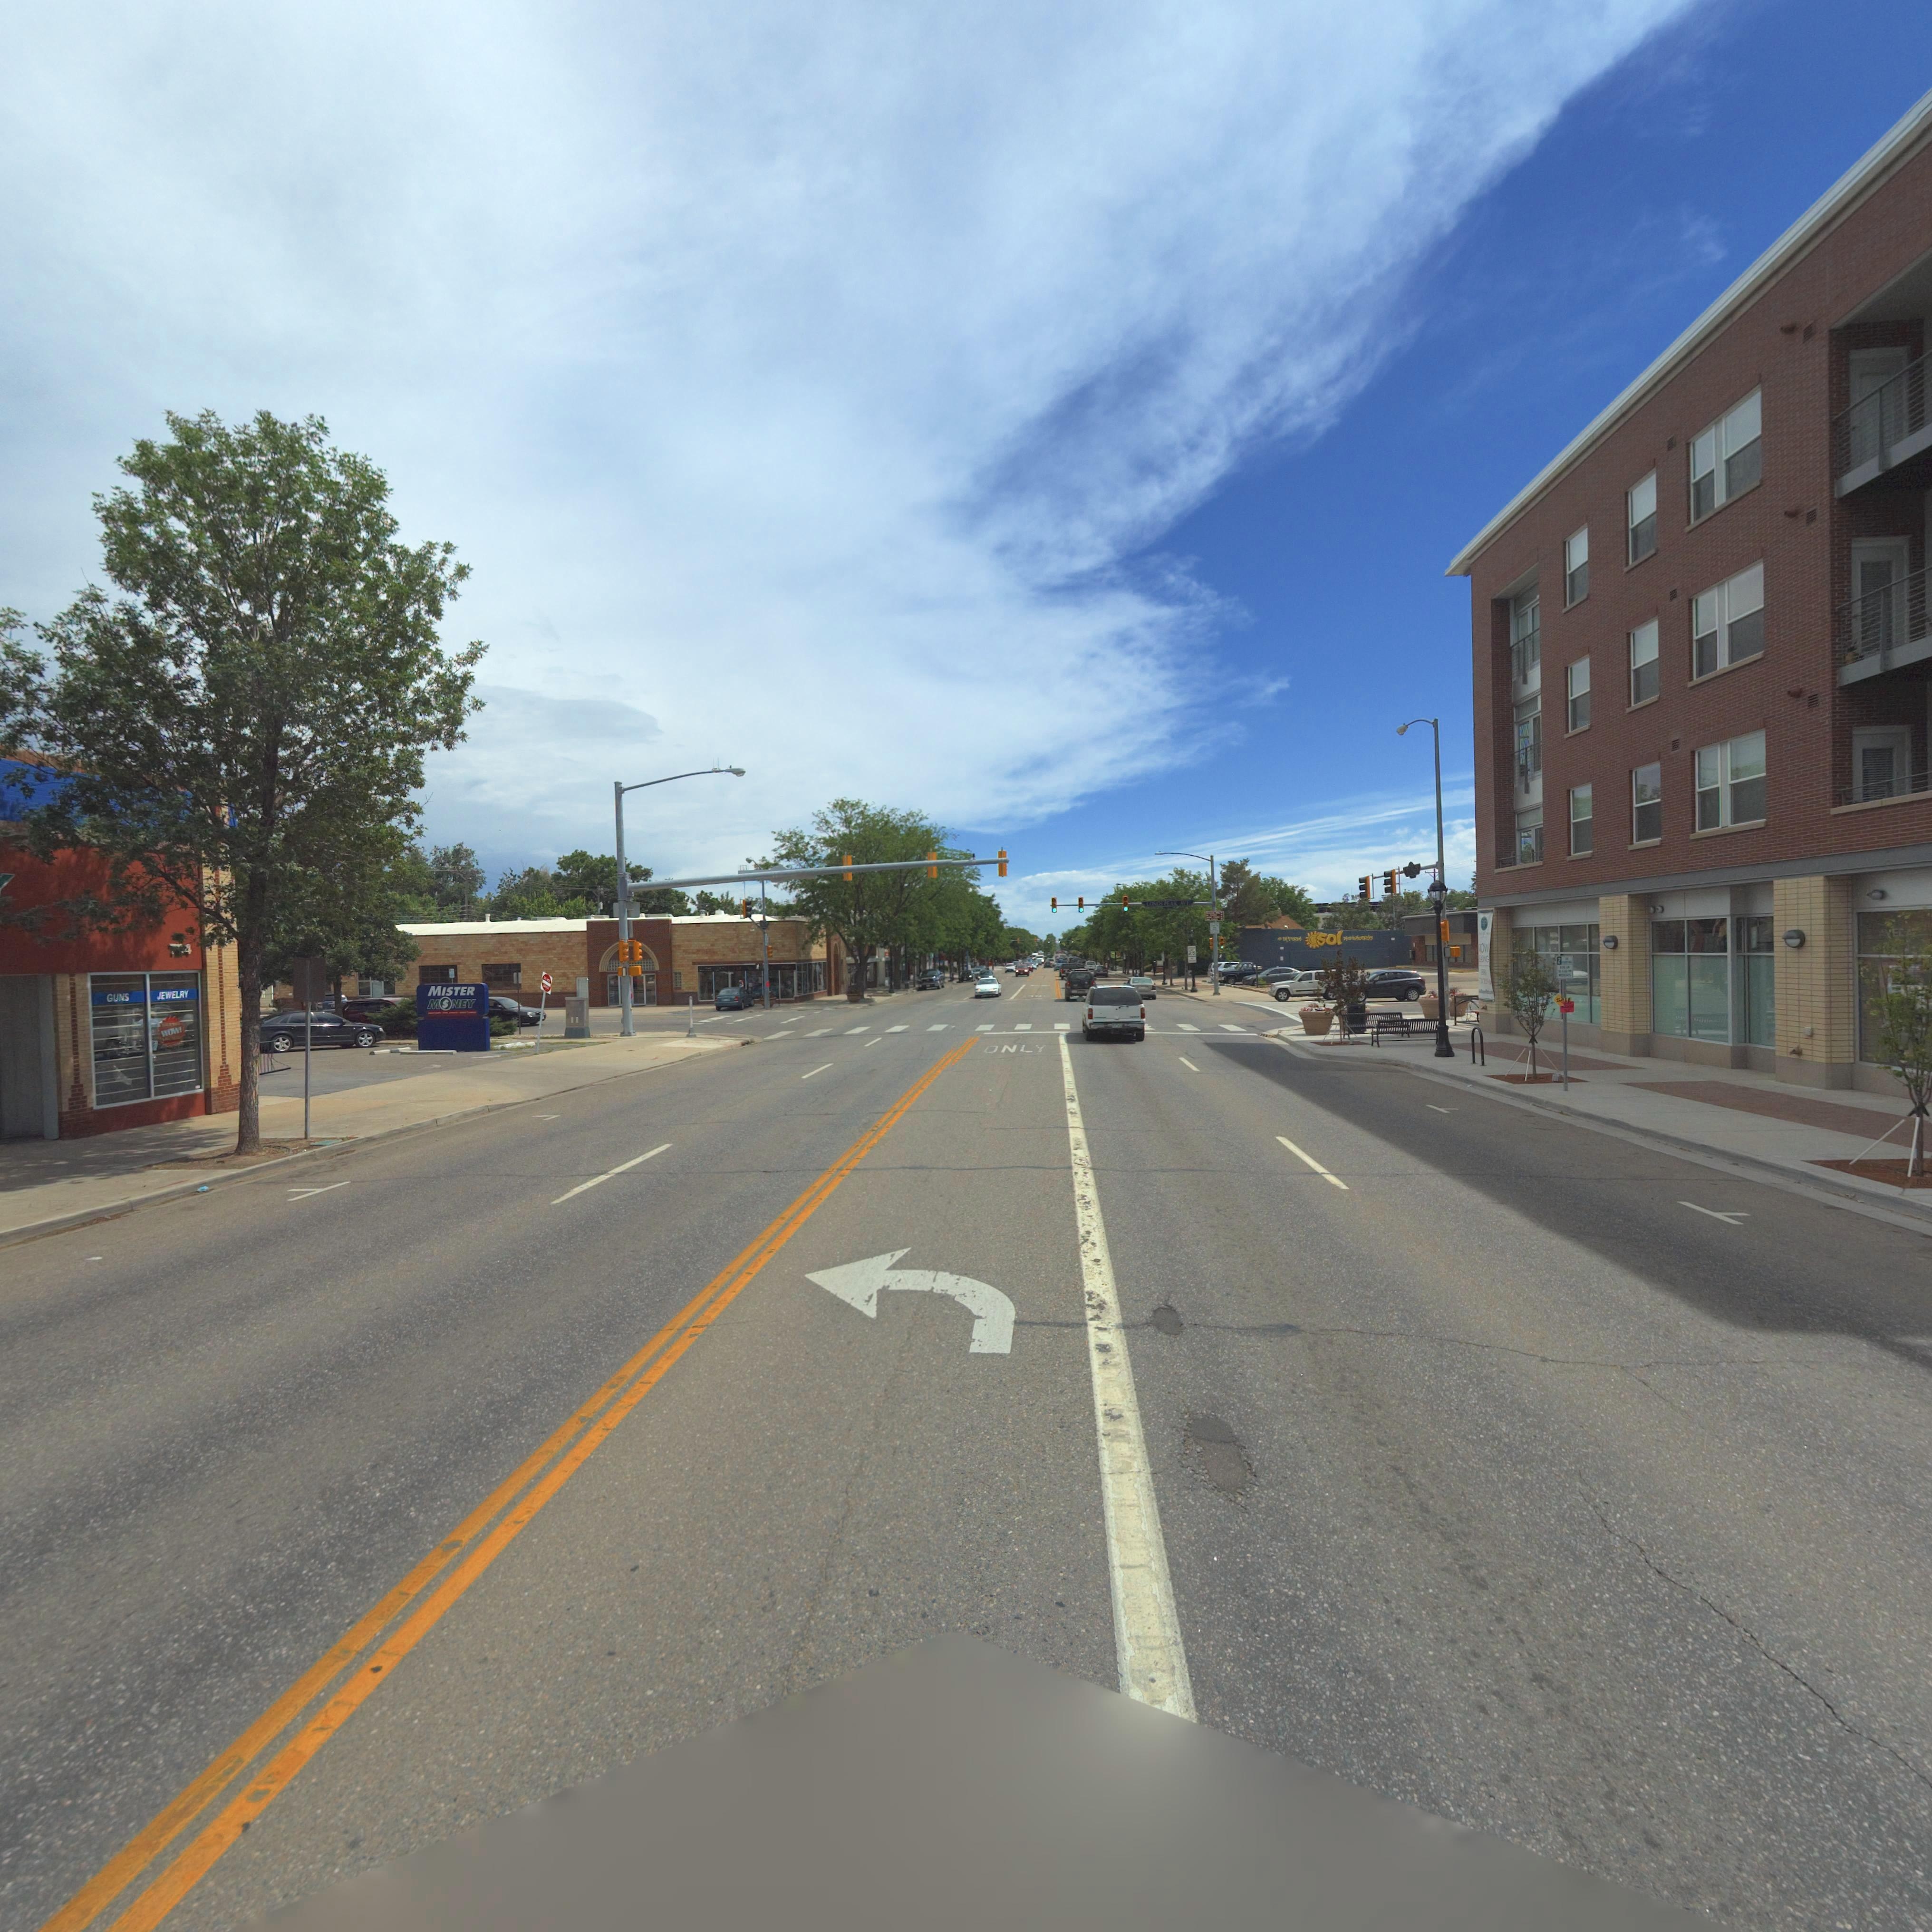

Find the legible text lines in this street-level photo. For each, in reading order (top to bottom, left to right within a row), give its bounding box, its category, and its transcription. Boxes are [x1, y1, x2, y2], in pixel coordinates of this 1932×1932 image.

[1146, 900, 1190, 907] StreetName: LONGS PEAK AVE
[1315, 930, 1344, 947] BusinessName: sol
[1343, 934, 1373, 941] BusinessName: skateboards
[168, 943, 192, 955] StreetNumber: ***4
[427, 985, 475, 996] BusinessName: MISTER
[426, 998, 476, 1009] BusinessName: M*NEY